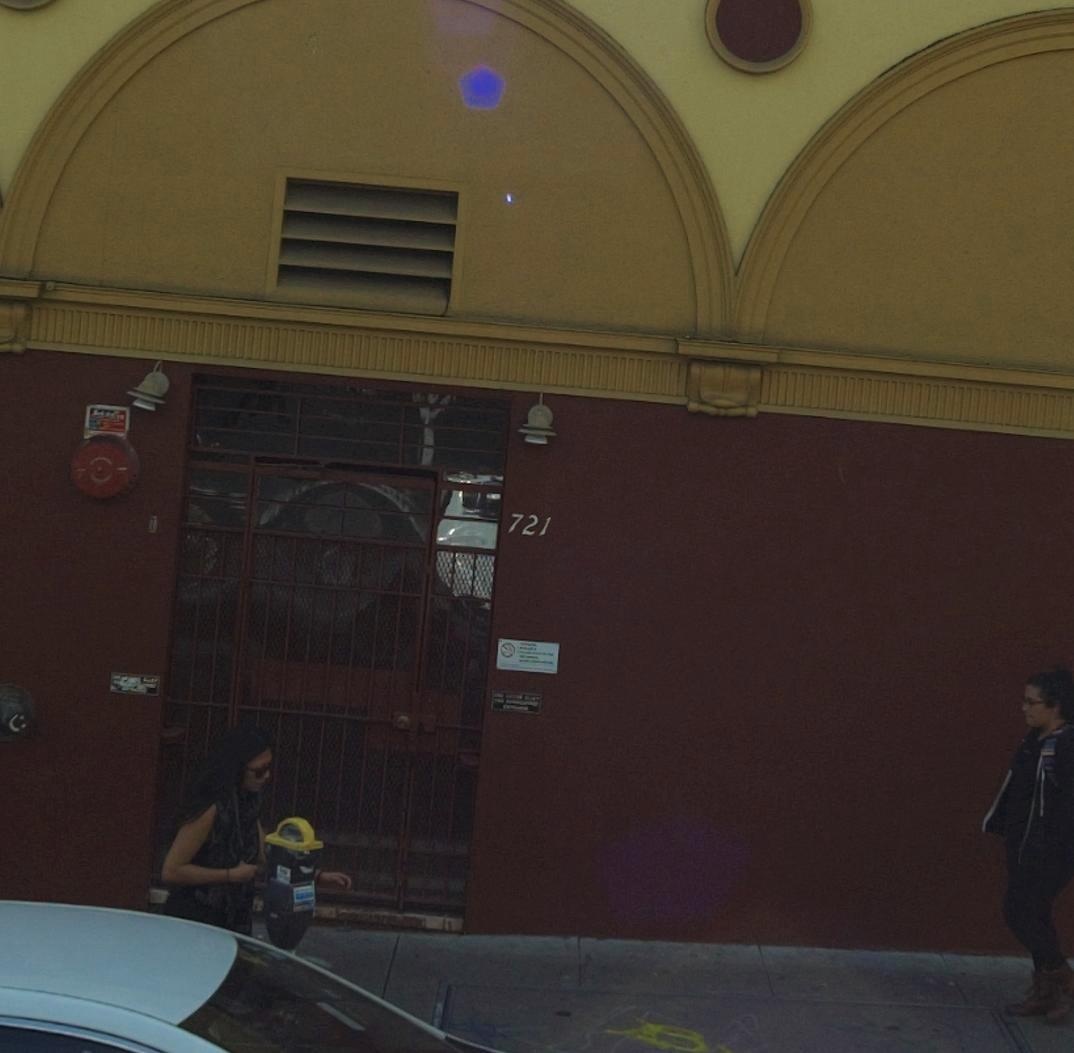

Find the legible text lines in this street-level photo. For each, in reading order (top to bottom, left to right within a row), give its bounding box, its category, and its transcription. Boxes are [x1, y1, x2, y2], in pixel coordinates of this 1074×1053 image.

[501, 505, 562, 543] StreetNumber: 721